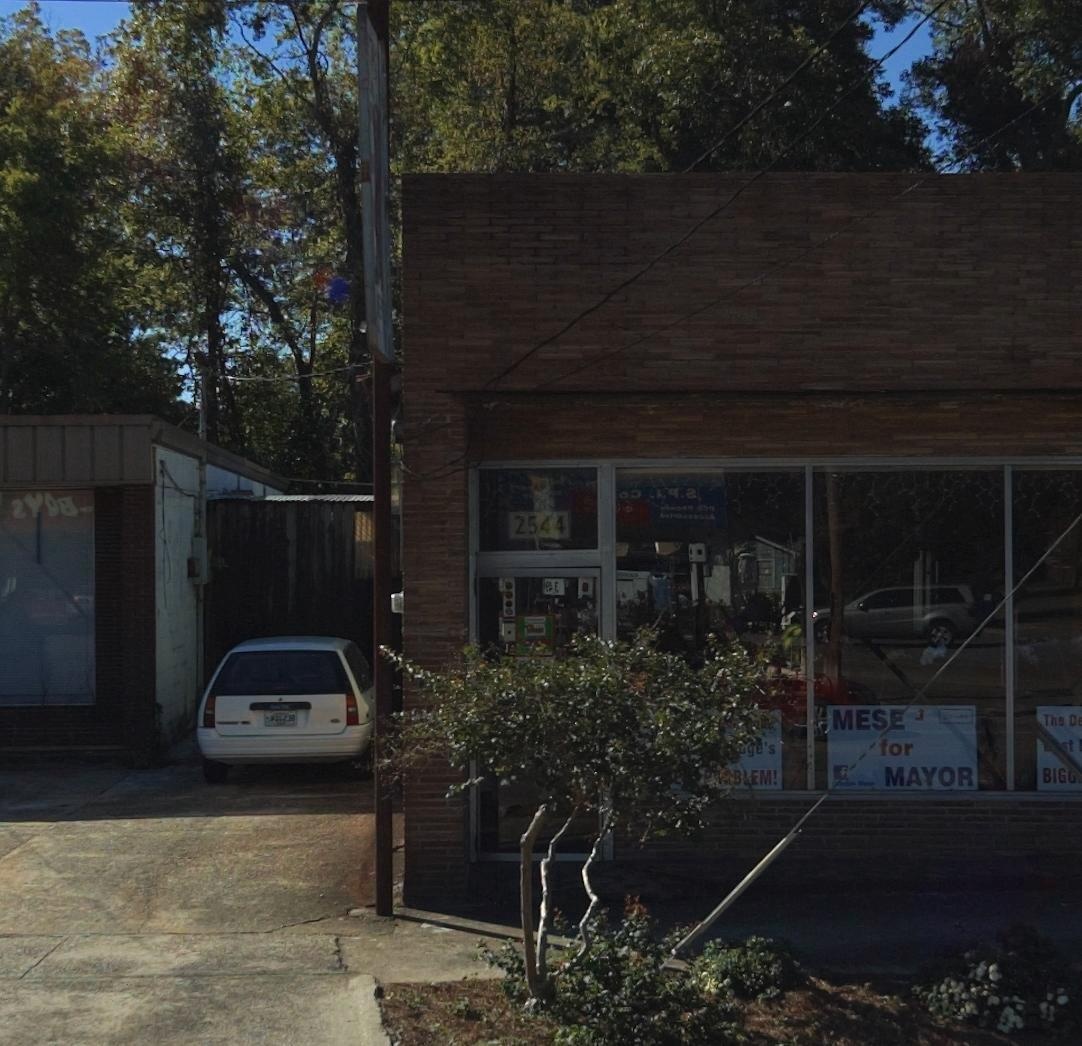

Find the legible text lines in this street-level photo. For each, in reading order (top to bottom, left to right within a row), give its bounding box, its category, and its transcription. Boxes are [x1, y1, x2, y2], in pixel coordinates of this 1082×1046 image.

[617, 485, 700, 502] None: o* .I.*.*
[9, 489, 83, 522] None: *Y**
[511, 512, 569, 538] StreetNumber: 2544
[831, 708, 906, 732] None: MESE
[1039, 712, 1079, 729] None: The D
[765, 742, 778, 757] None: s
[877, 736, 916, 760] None: for
[1067, 737, 1077, 755] None: t
[757, 767, 780, 788] None: M!
[882, 764, 977, 790] None: MAYOR
[1040, 765, 1069, 786] None: BIG